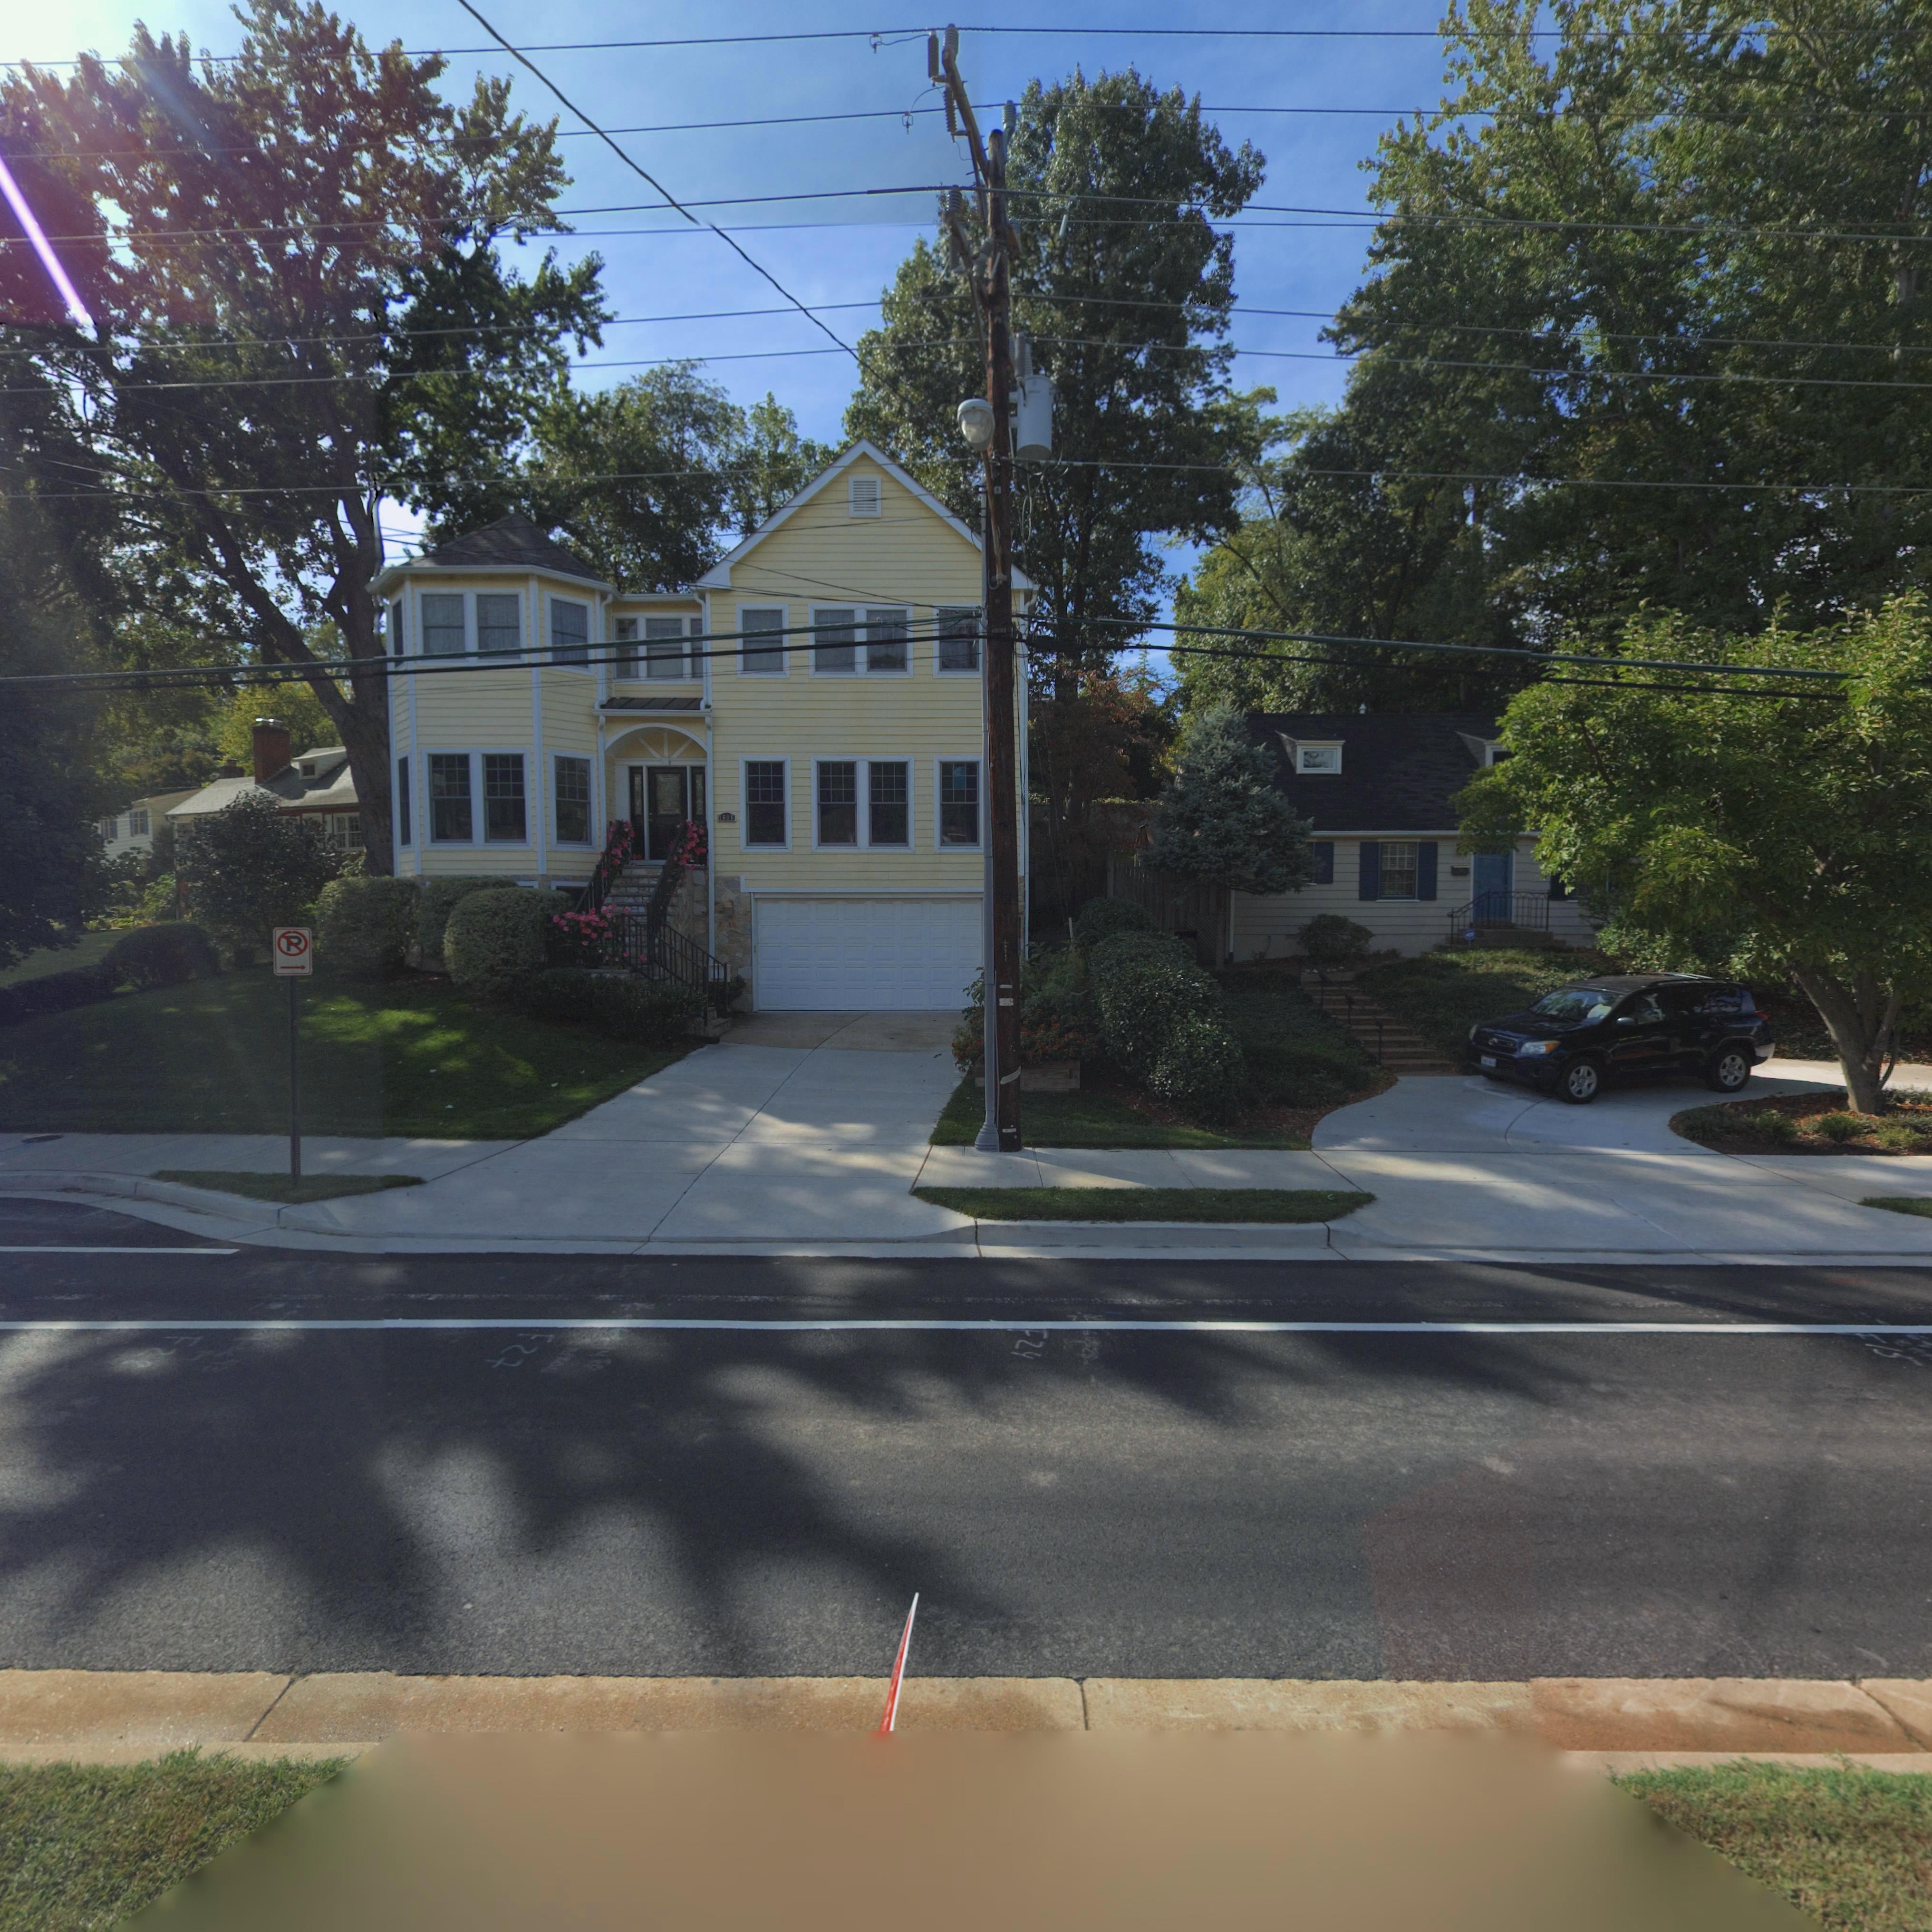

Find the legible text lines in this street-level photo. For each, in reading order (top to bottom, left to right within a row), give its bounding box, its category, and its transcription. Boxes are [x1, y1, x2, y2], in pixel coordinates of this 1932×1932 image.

[719, 814, 734, 821] StreetNumber: 1606